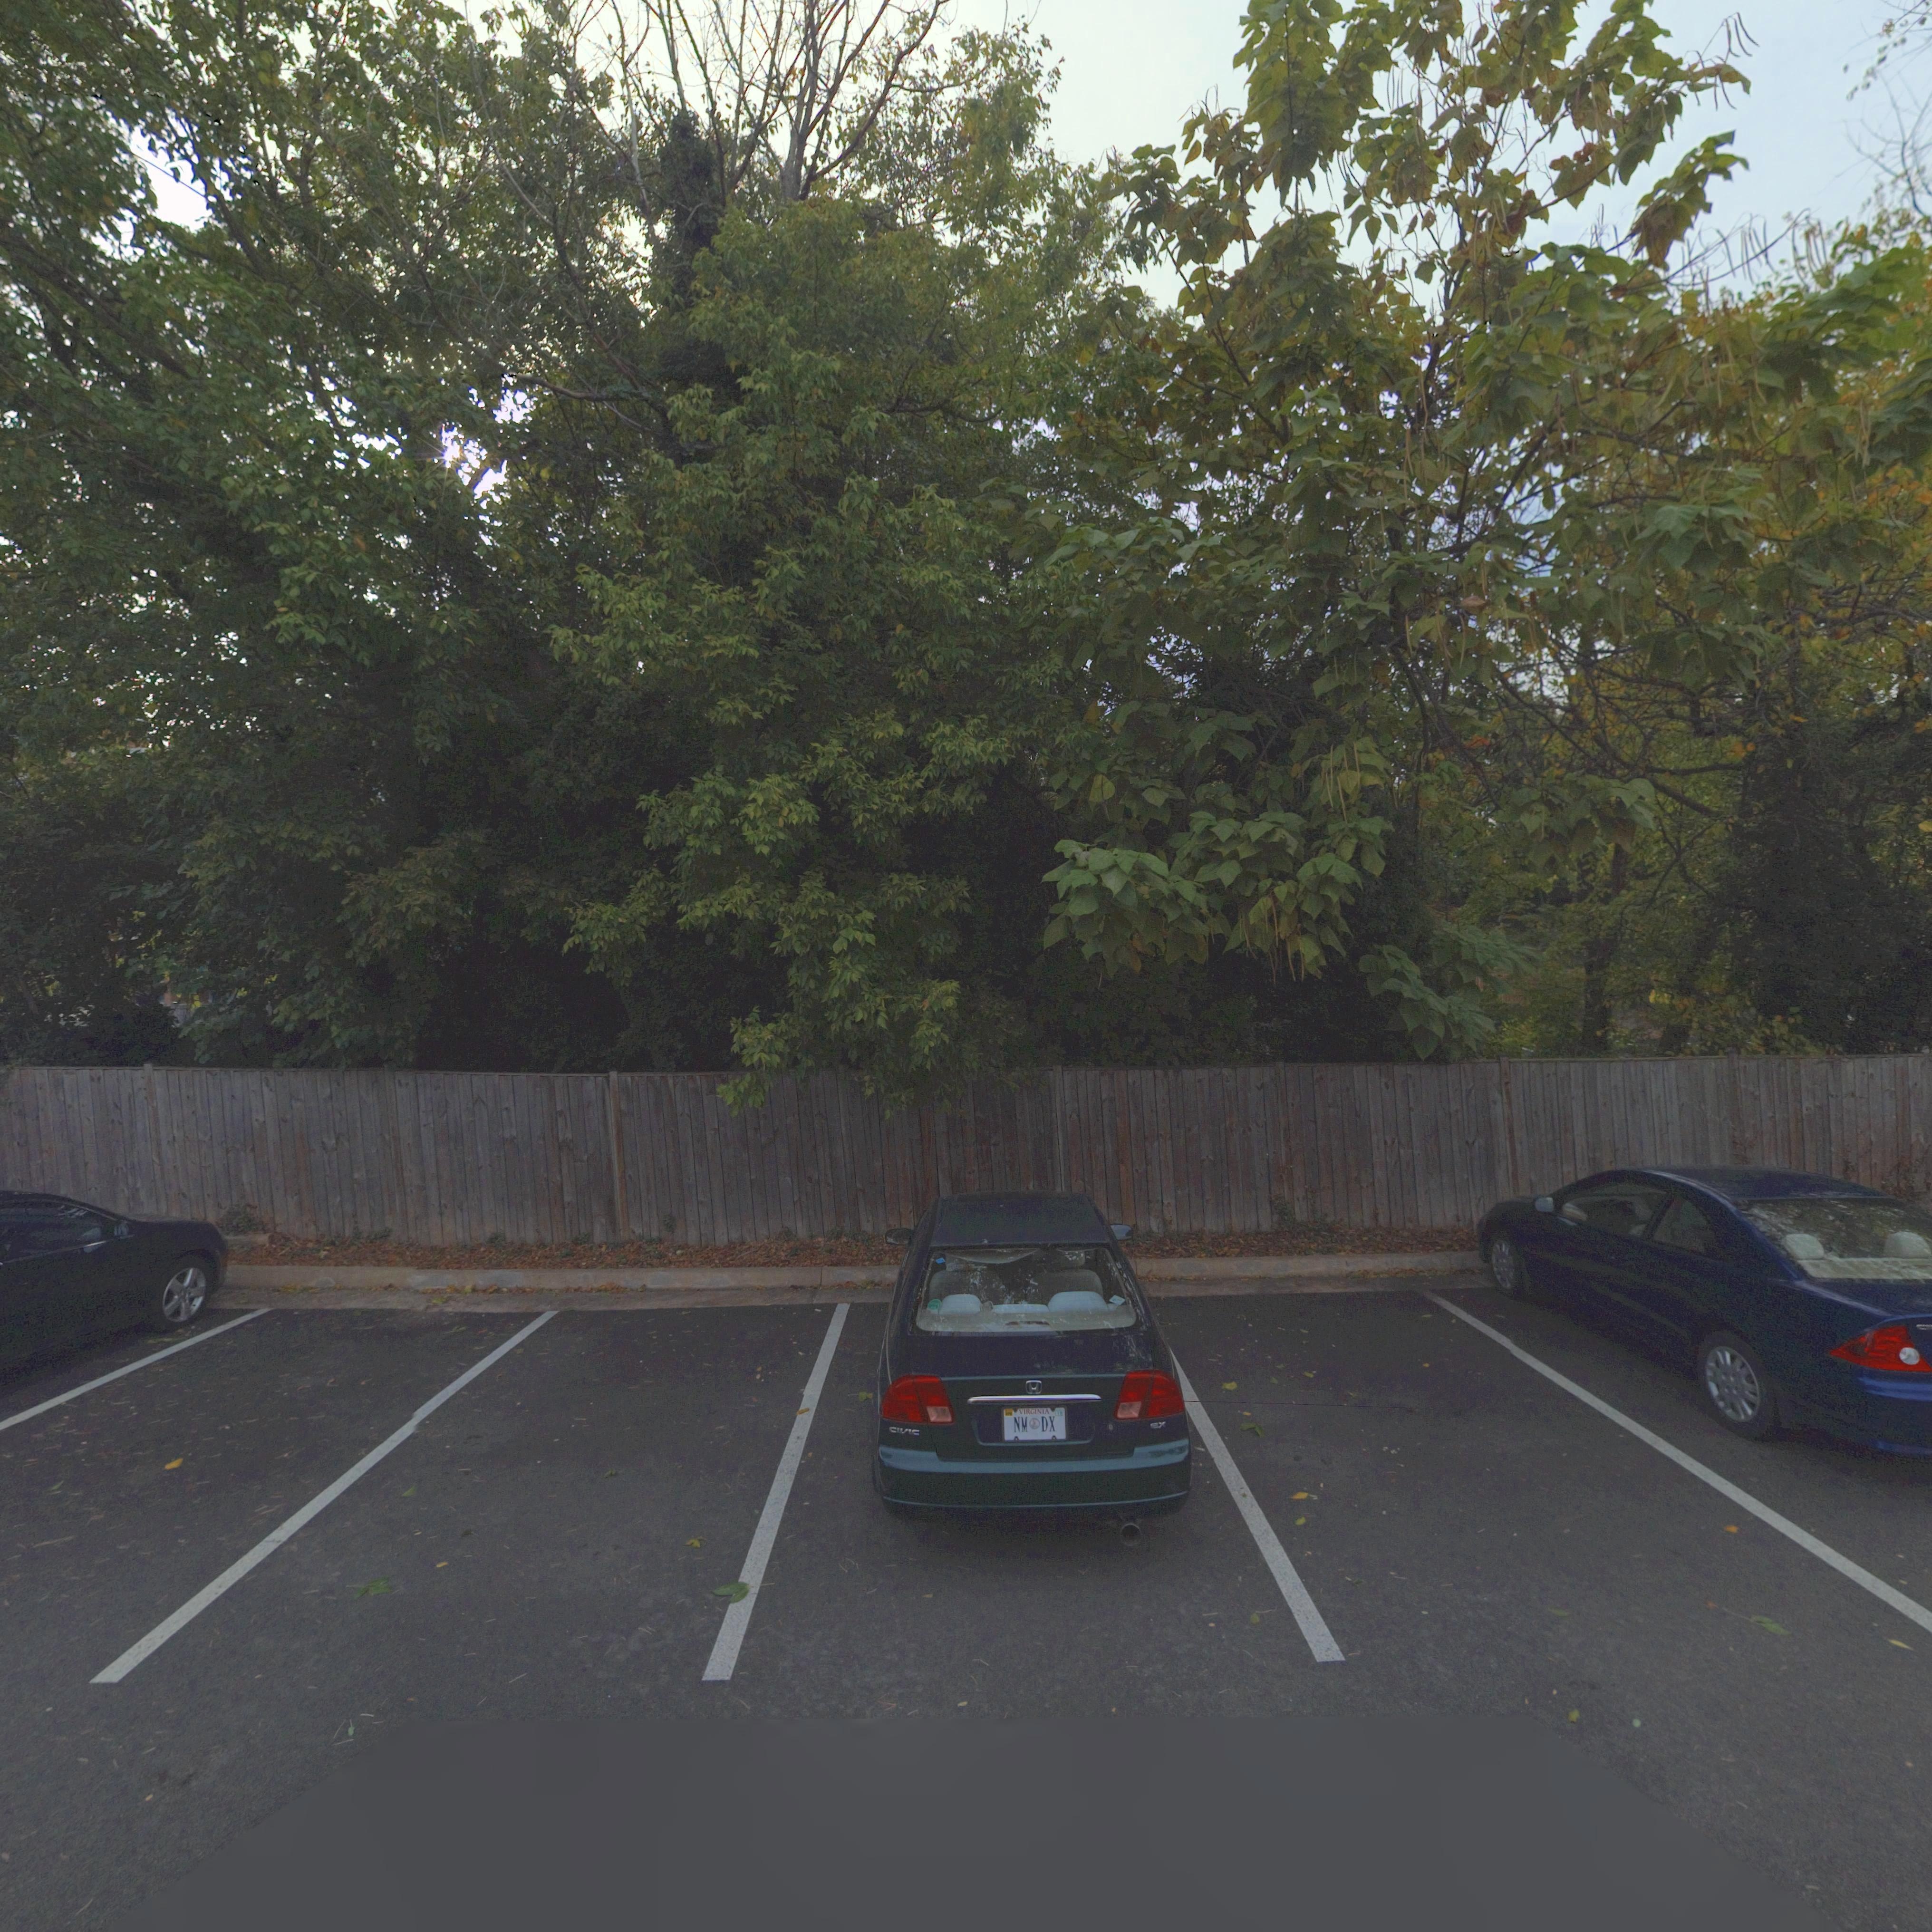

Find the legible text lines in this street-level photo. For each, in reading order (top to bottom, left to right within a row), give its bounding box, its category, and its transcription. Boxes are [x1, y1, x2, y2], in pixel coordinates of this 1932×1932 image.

[1018, 1408, 1050, 1415] None: VIRGINIA
[1014, 1415, 1056, 1432] None: NM * DX
[1149, 1420, 1166, 1430] None: SX
[889, 1426, 920, 1436] None: CIVIC